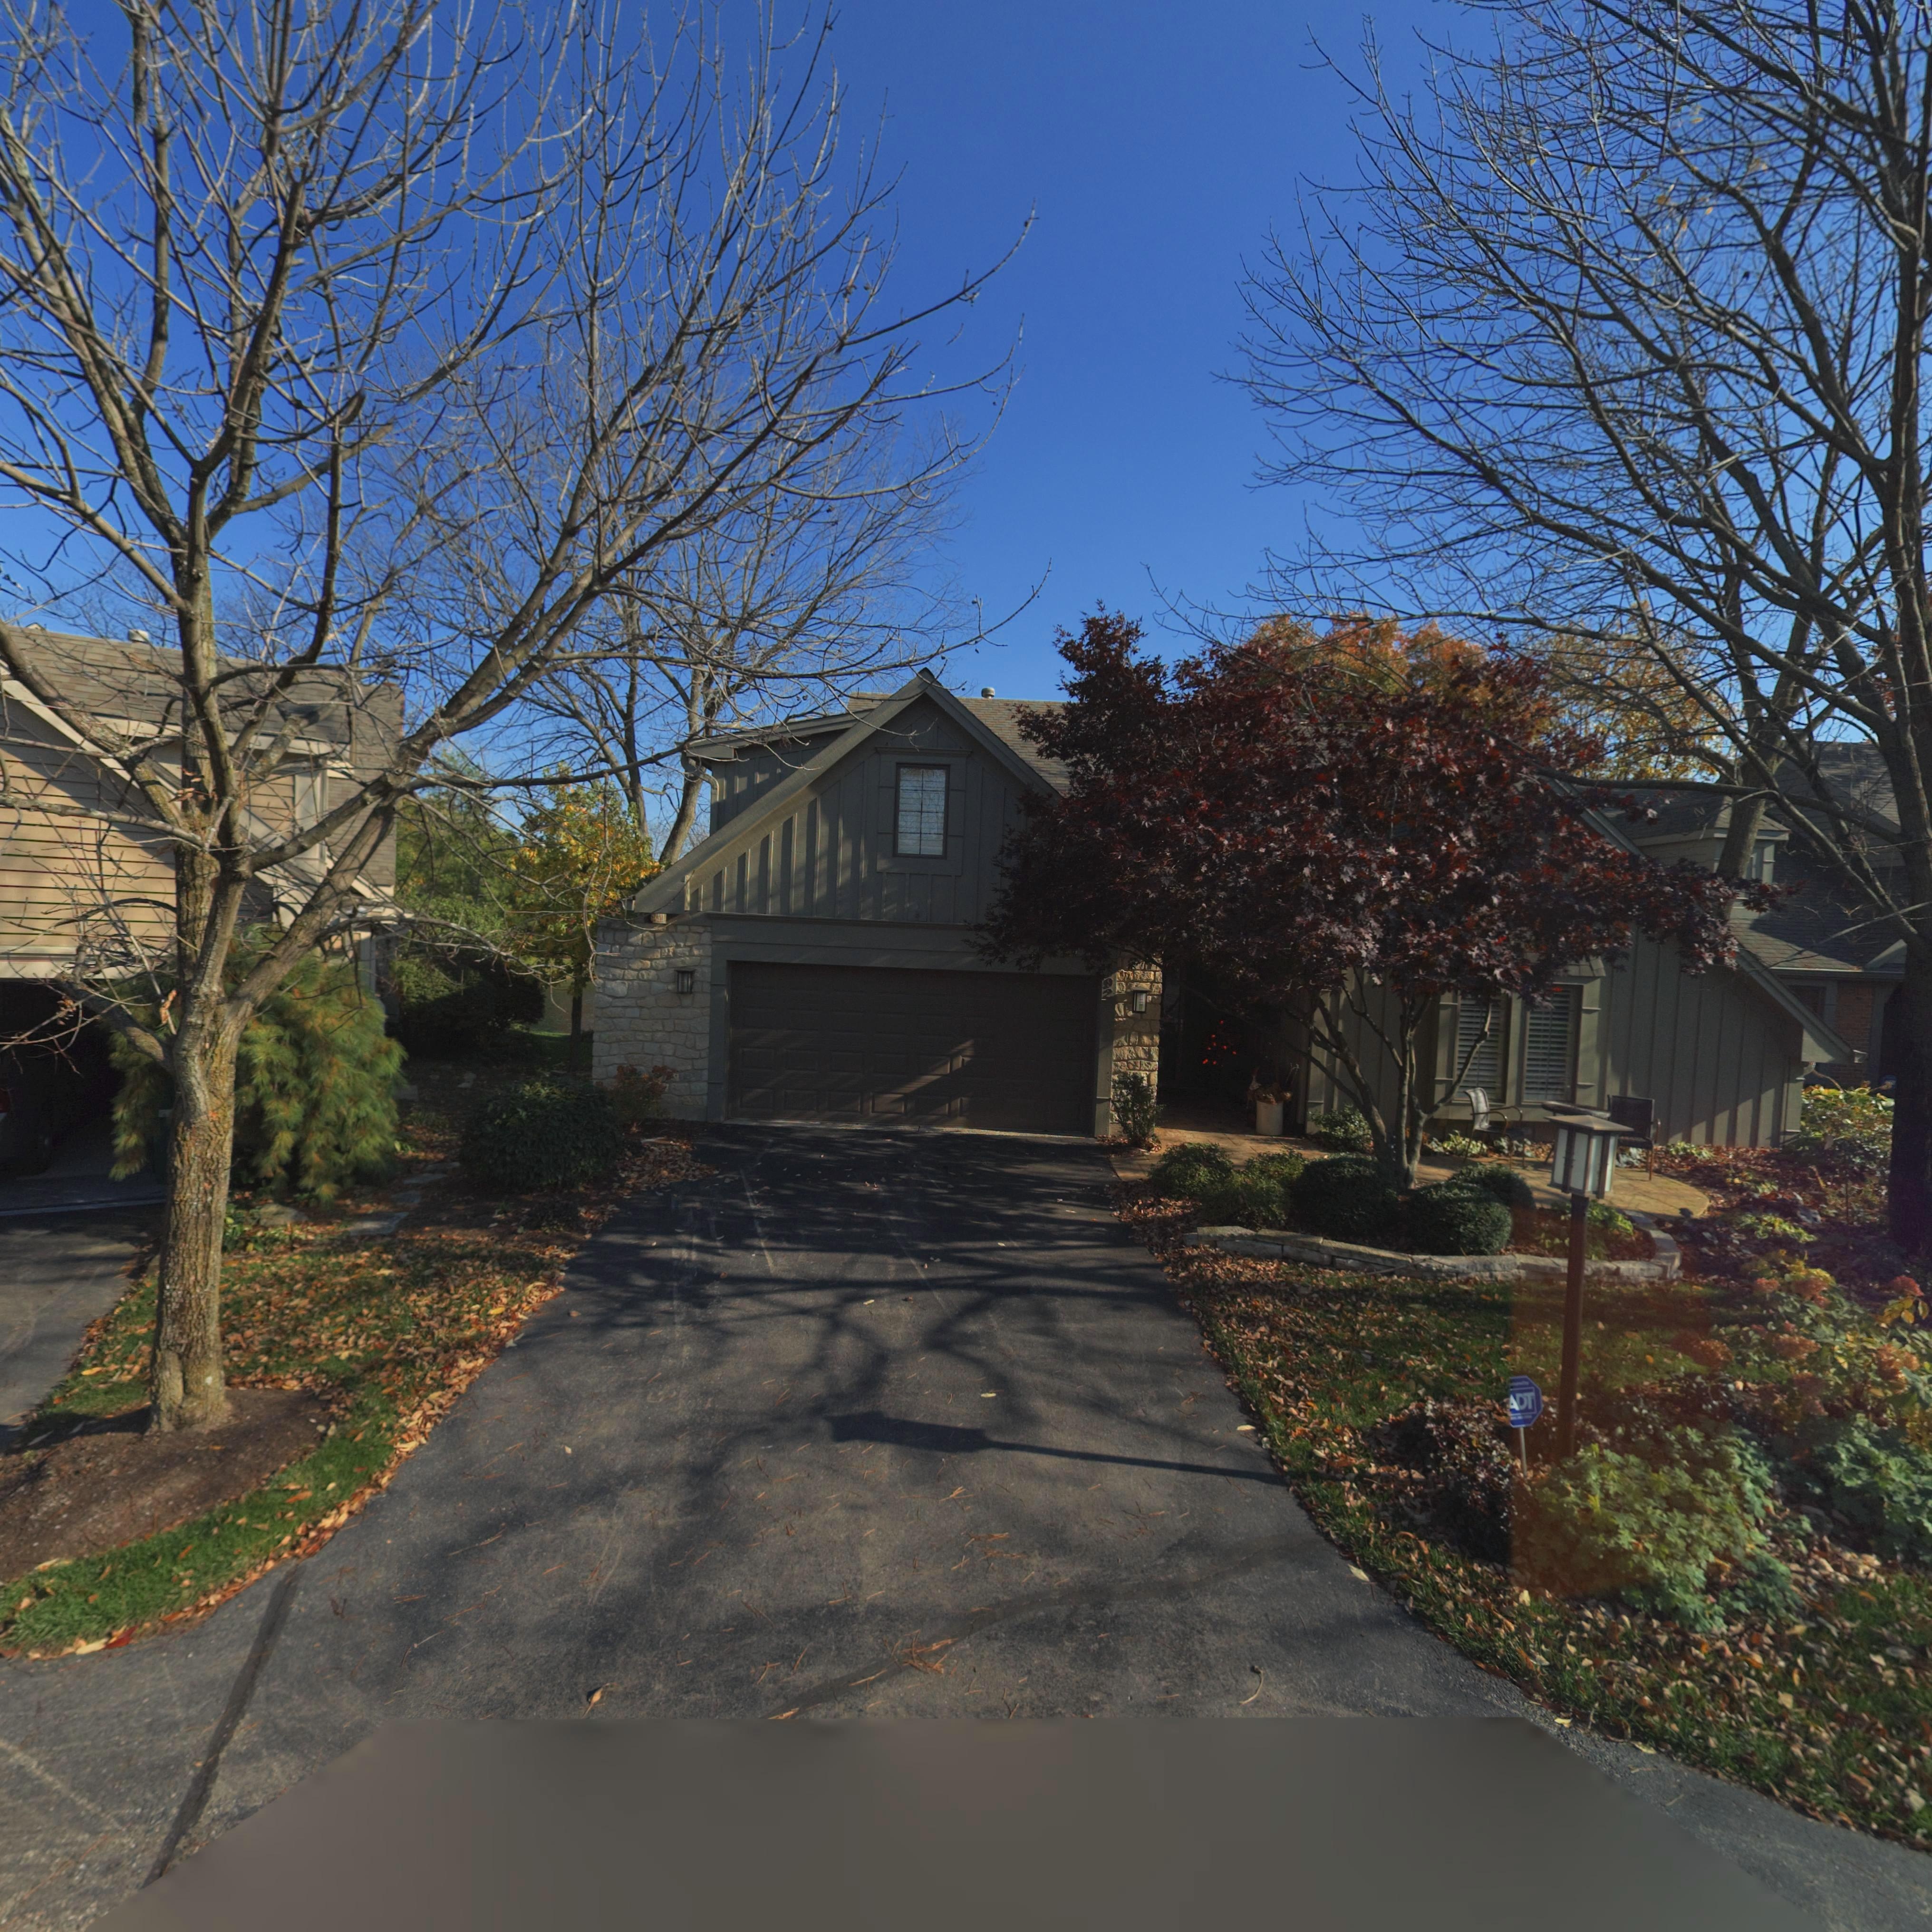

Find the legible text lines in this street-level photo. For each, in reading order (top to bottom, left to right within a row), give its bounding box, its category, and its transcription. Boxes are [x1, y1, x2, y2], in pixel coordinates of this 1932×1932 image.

[1103, 961, 1112, 999] StreetNumber: 592